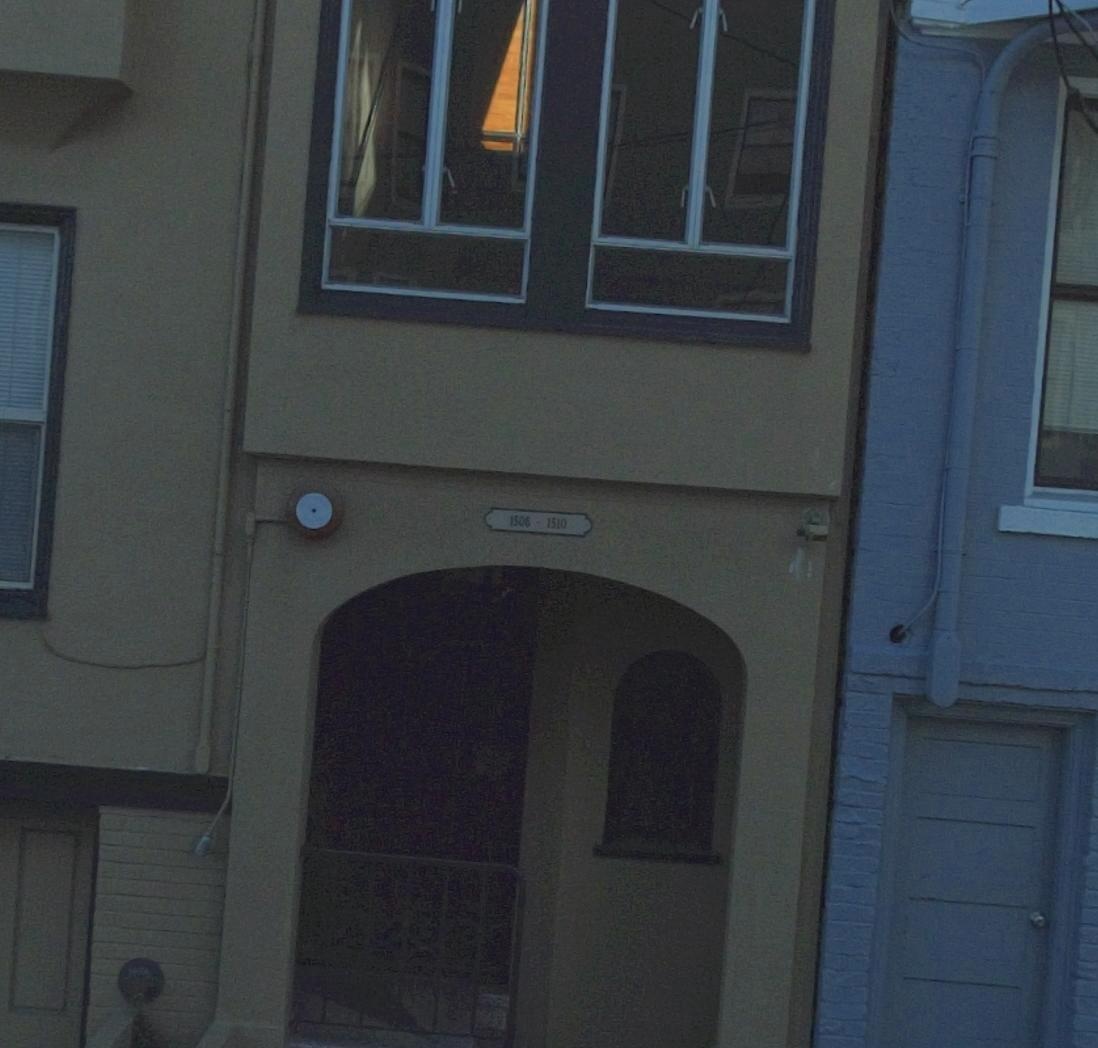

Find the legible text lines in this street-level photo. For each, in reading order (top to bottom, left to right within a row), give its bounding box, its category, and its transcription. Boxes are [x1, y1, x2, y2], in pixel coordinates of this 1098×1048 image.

[508, 514, 532, 529] StreetNumber: 1506
[546, 516, 567, 531] StreetNumber: 1510